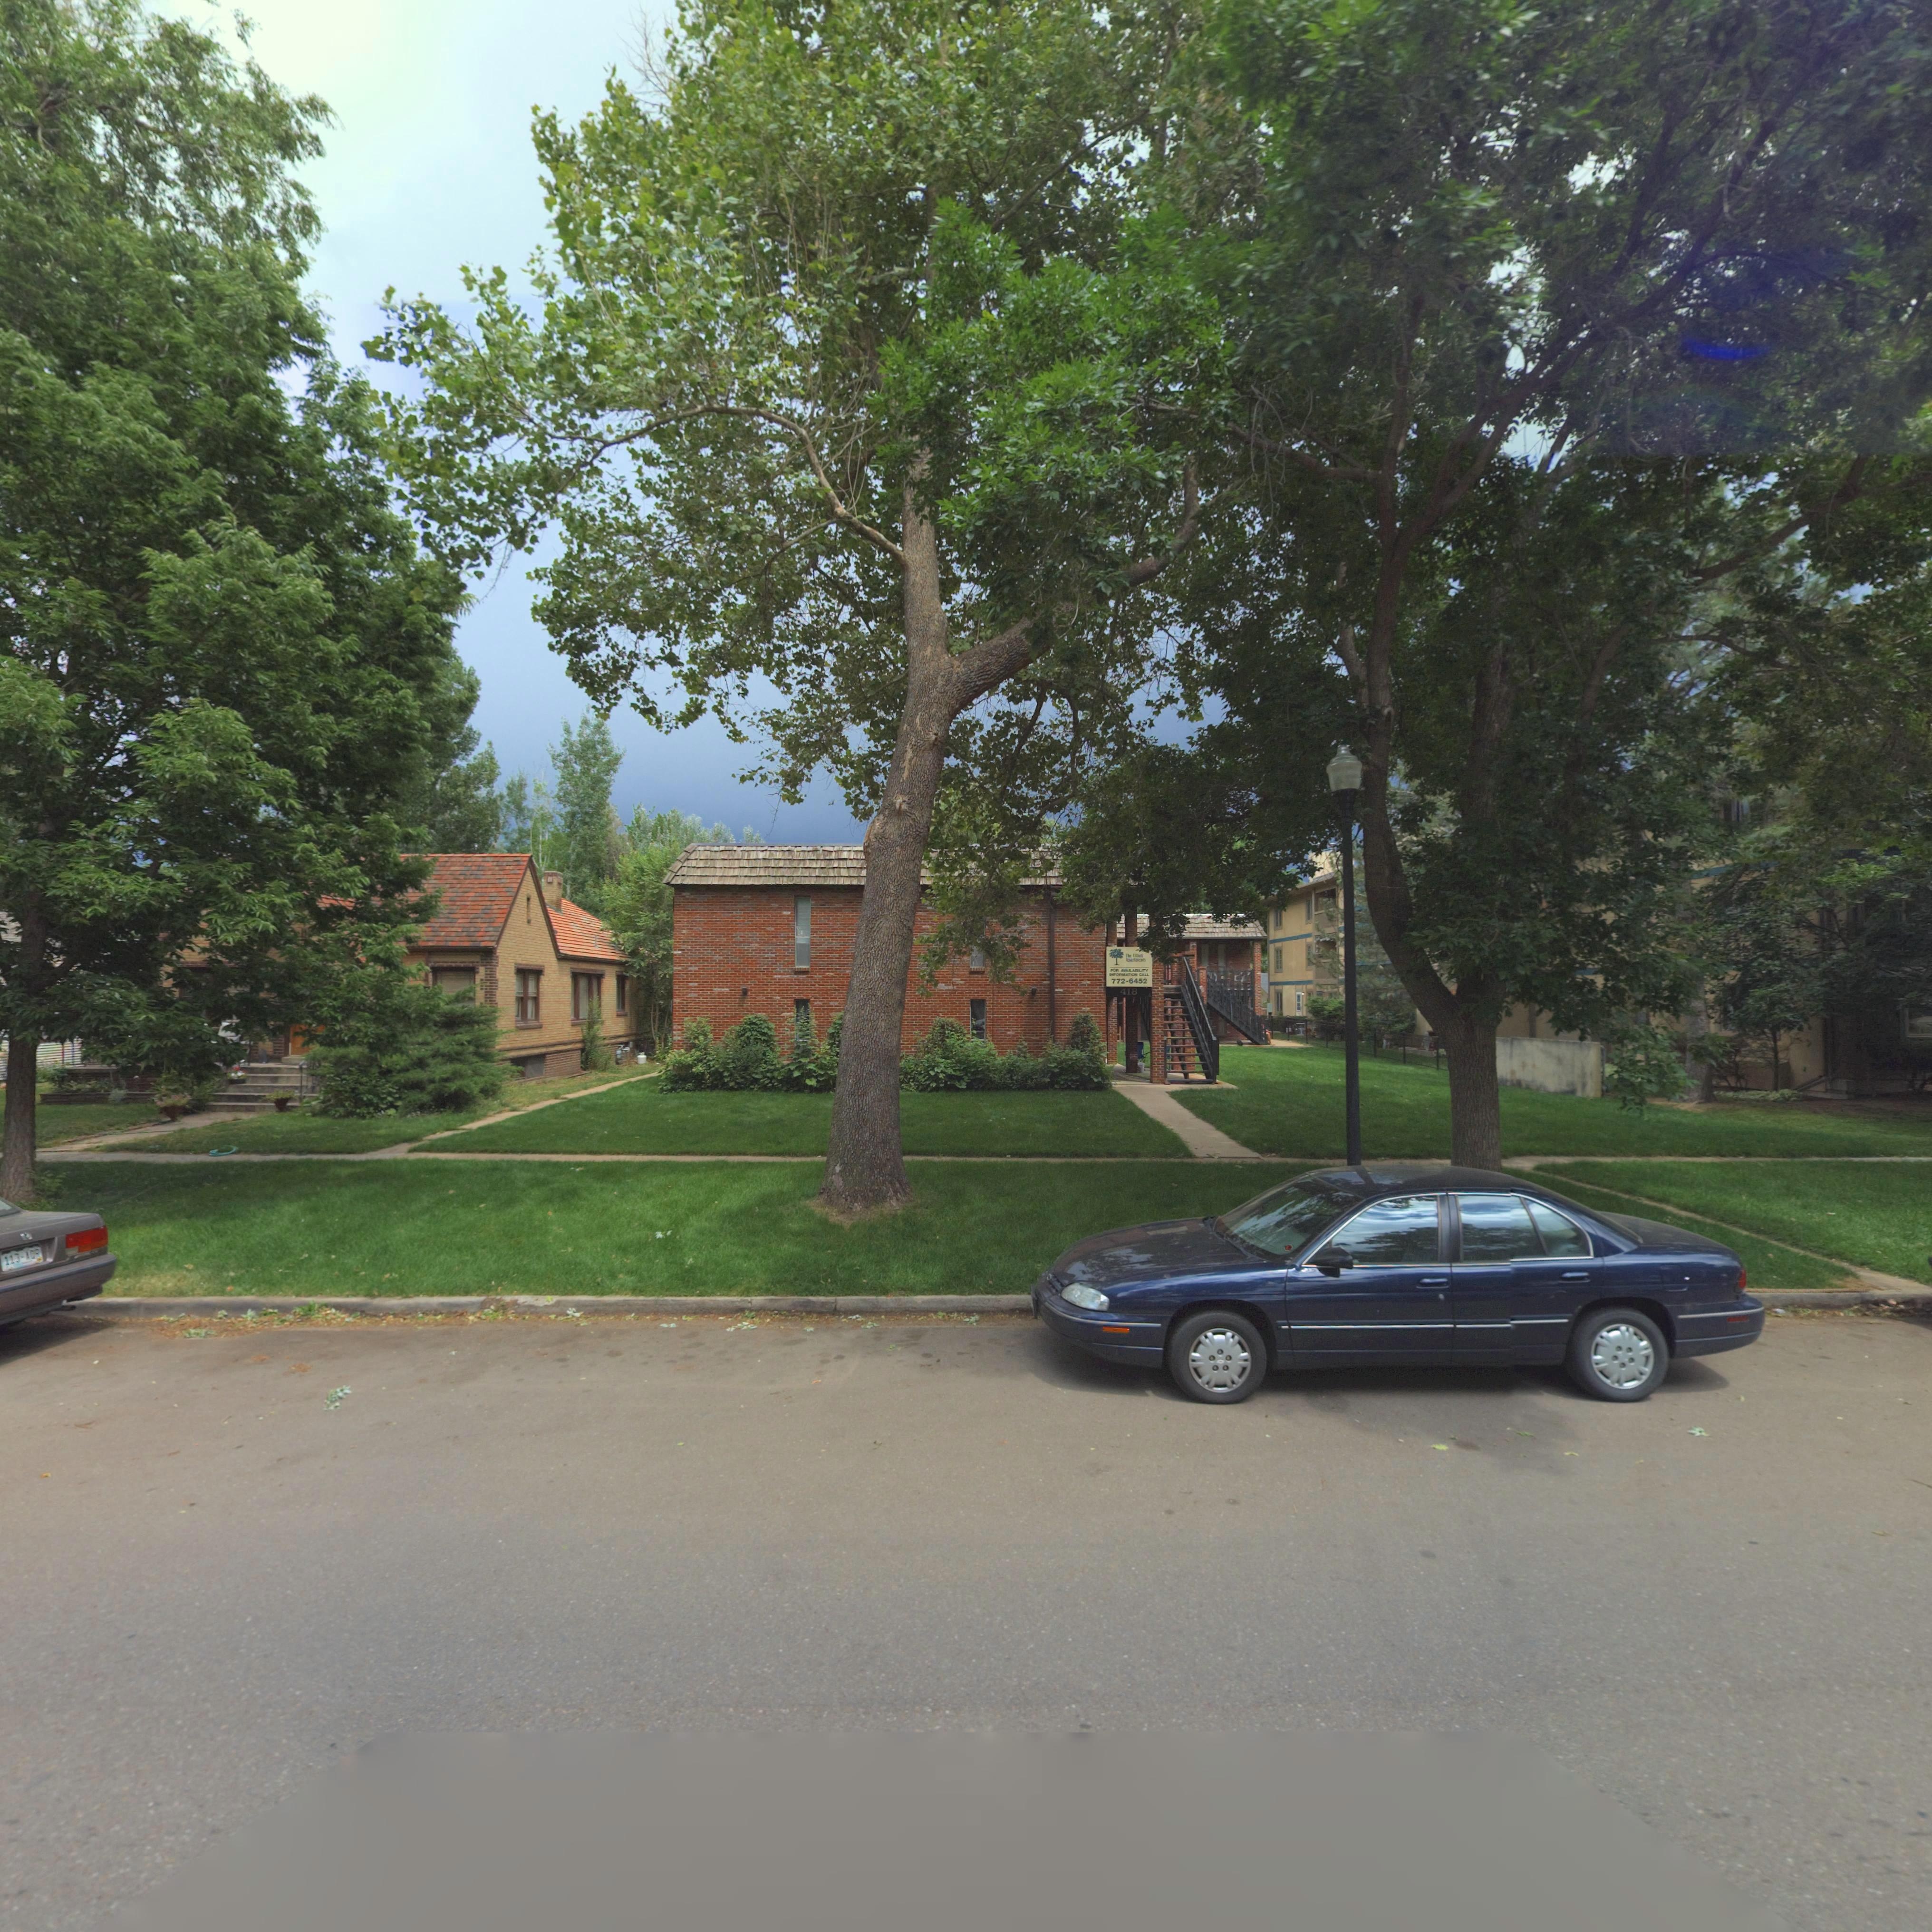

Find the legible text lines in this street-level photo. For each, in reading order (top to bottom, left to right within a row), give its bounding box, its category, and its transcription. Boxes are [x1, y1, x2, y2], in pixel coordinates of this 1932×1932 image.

[1125, 953, 1144, 958] BusinessName: The ******l
[1125, 957, 1146, 962] BusinessName: Apartments
[1119, 987, 1138, 995] StreetNumber: 418